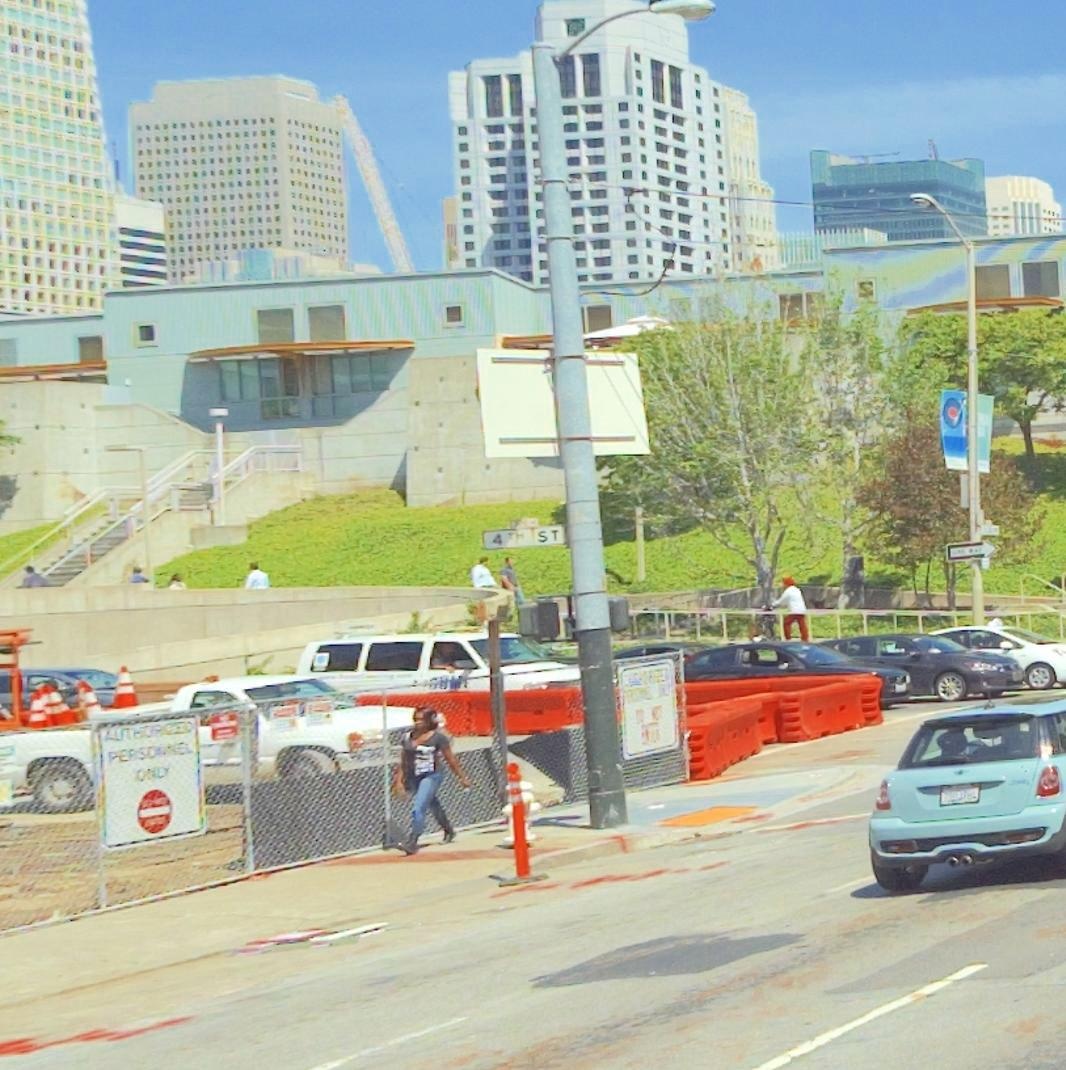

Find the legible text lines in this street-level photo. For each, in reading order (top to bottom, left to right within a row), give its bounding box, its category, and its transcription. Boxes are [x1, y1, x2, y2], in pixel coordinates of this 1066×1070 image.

[491, 528, 561, 548] StreetName: 4TH ST
[106, 745, 158, 764] None: PERSO
[132, 764, 174, 783] None: ONLY